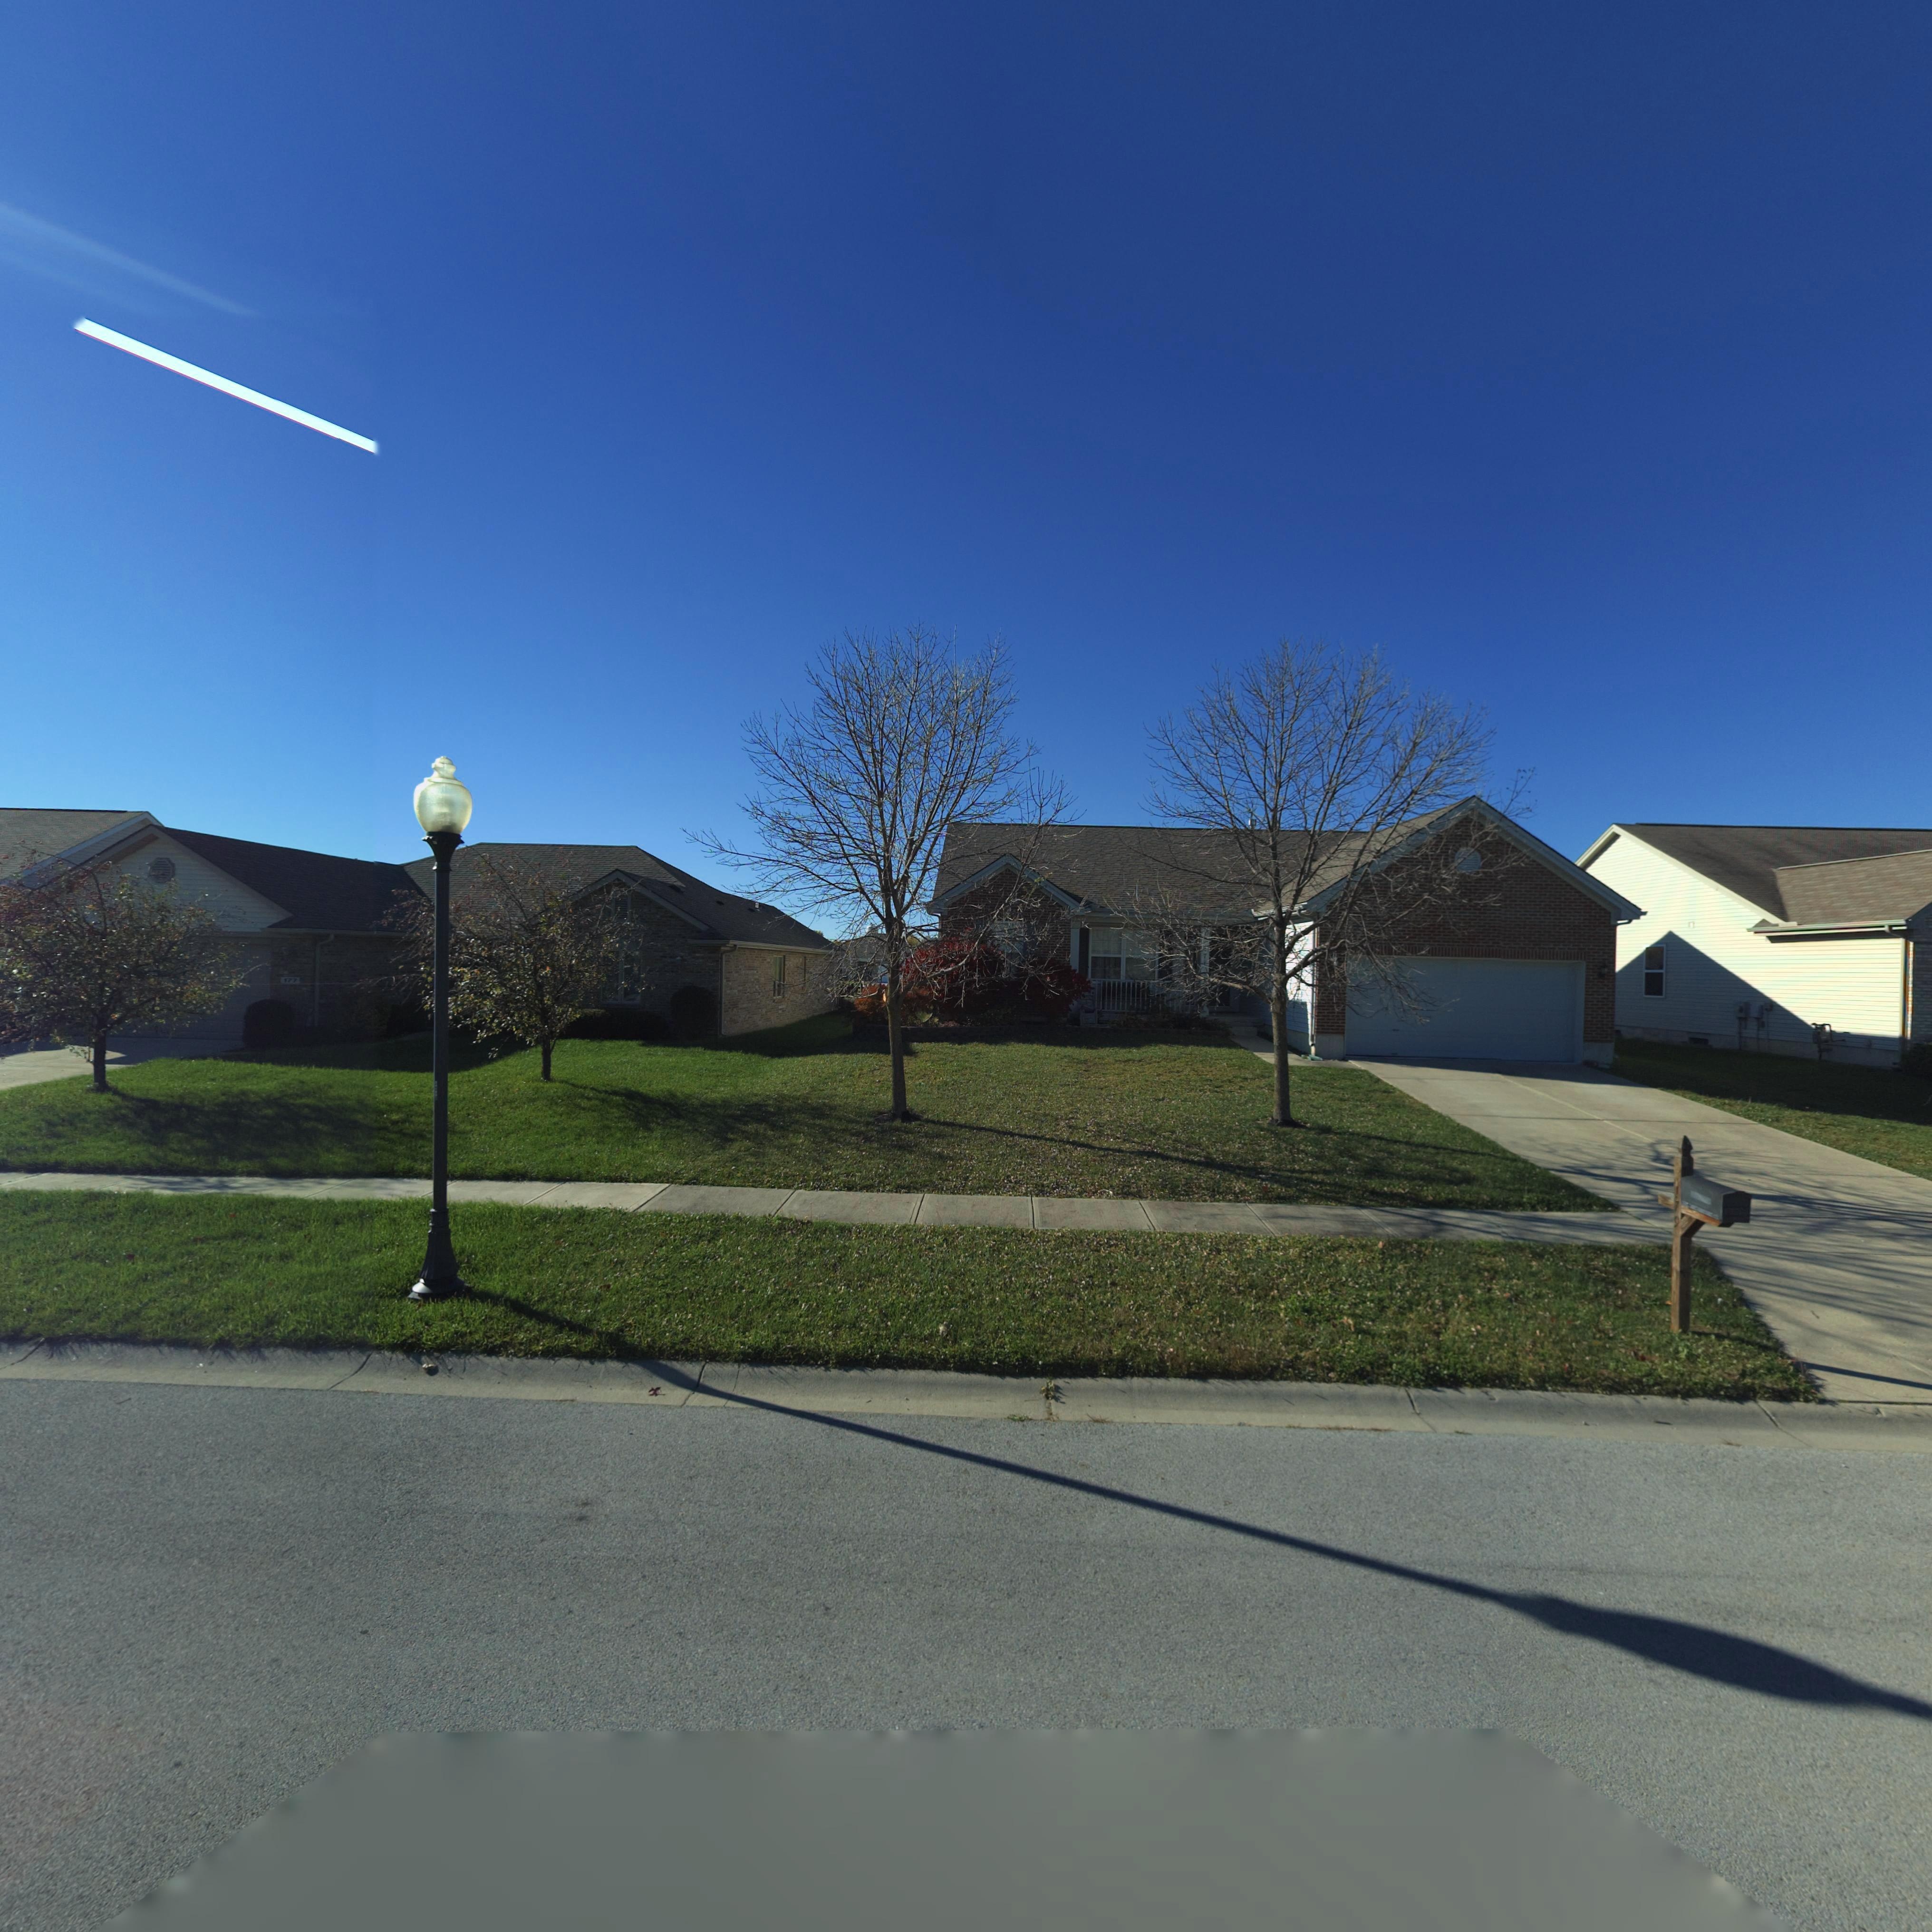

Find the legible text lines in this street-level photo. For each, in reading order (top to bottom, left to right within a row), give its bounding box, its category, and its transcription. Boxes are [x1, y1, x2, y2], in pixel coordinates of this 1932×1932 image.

[283, 977, 298, 983] StreetNumber: 177
[1673, 1185, 1681, 1229] StreetNumber: 179